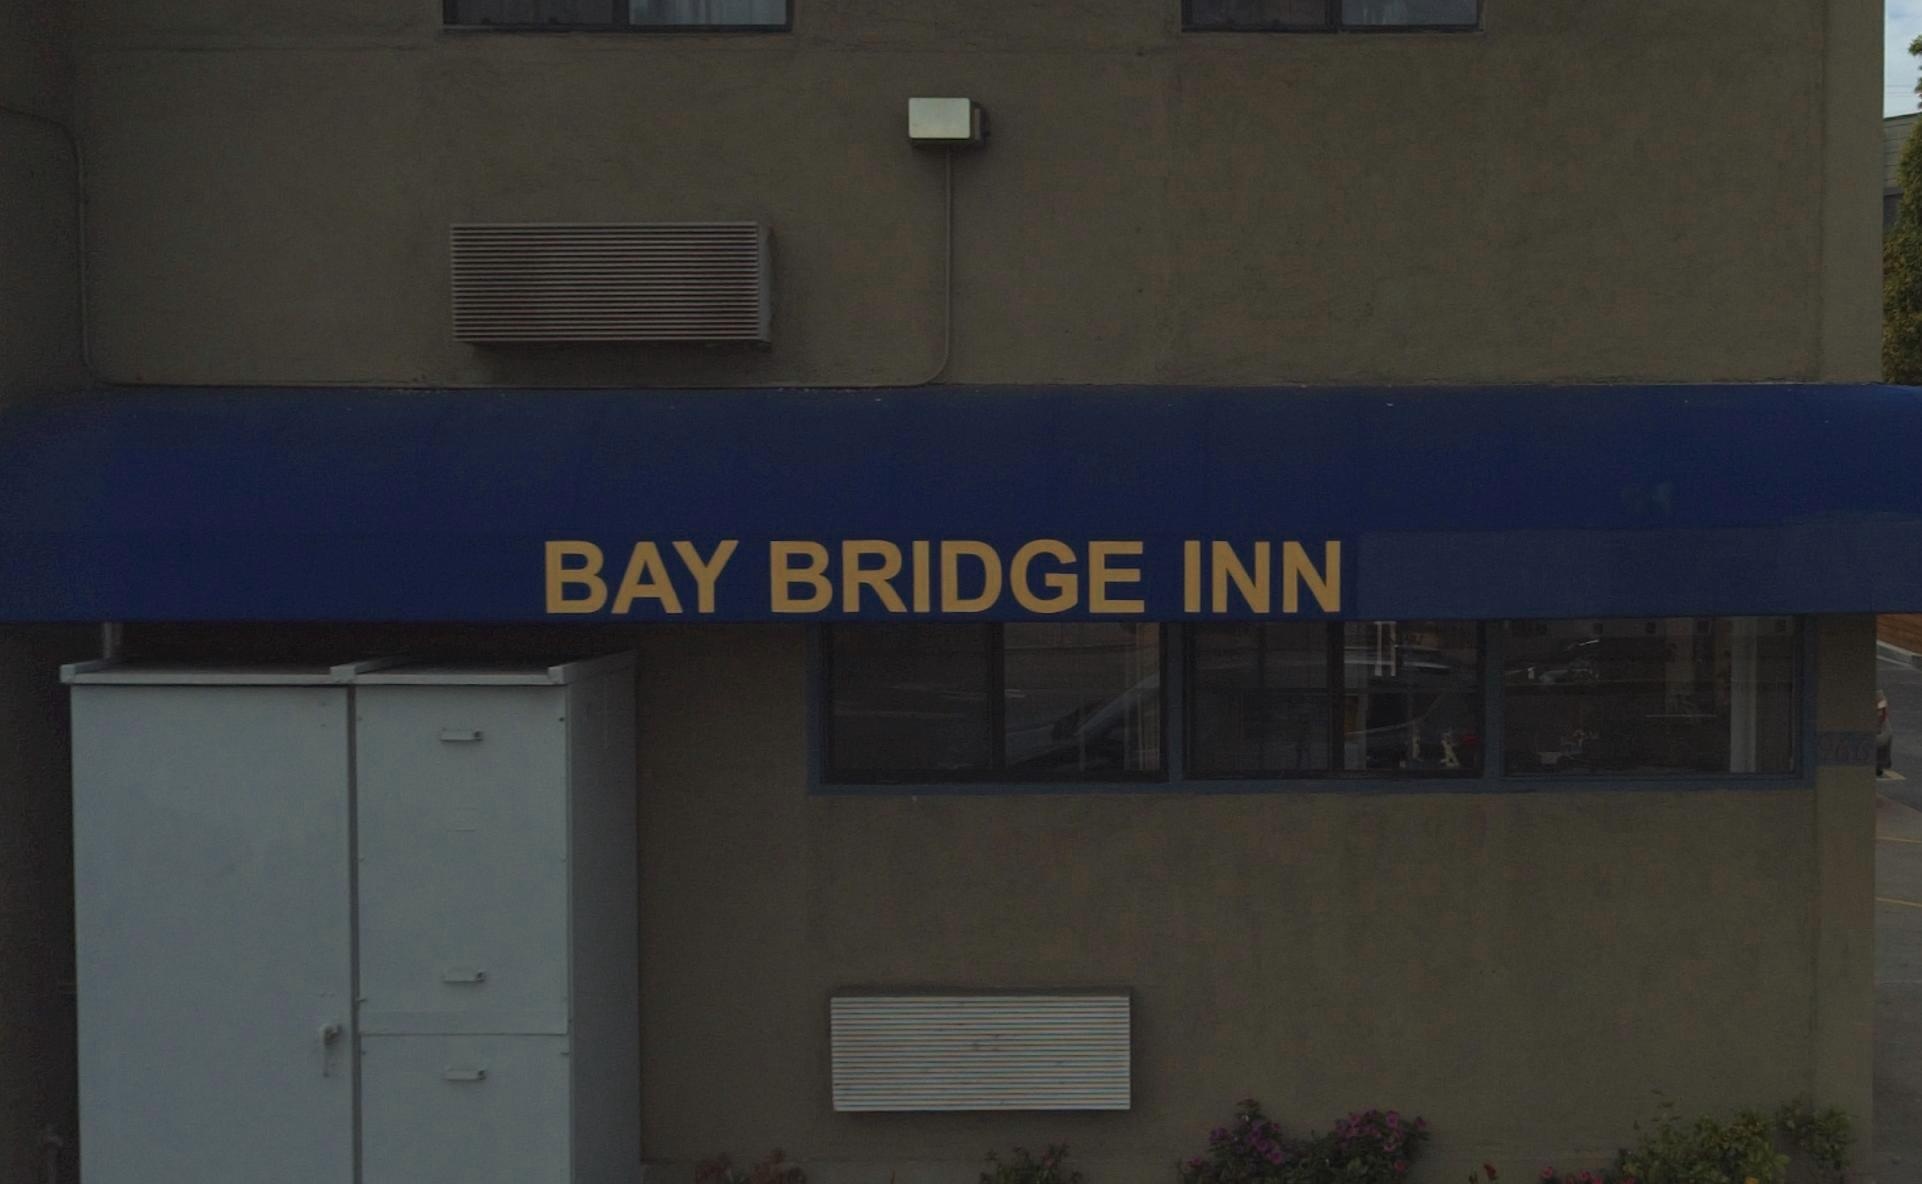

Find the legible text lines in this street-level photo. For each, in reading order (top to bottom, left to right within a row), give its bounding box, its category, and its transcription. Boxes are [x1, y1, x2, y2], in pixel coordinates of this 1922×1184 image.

[539, 535, 1346, 619] BusinessName: BAY BRIDGE INN